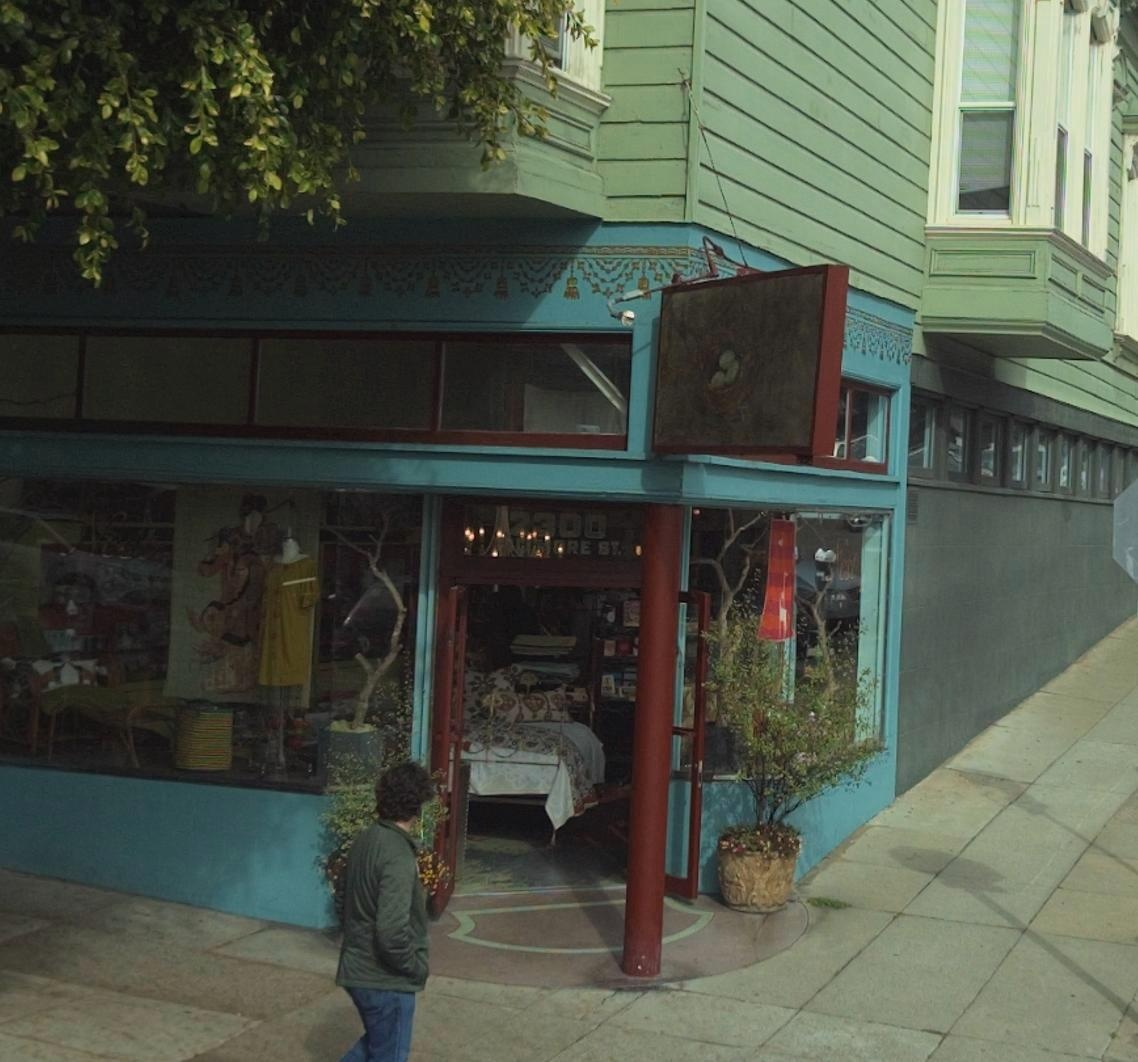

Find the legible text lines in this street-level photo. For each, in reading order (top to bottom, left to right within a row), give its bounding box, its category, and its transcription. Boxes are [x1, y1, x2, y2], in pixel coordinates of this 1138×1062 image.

[508, 508, 610, 541] StreetNumber: 2300
[564, 537, 624, 558] StreetName: RE ST.